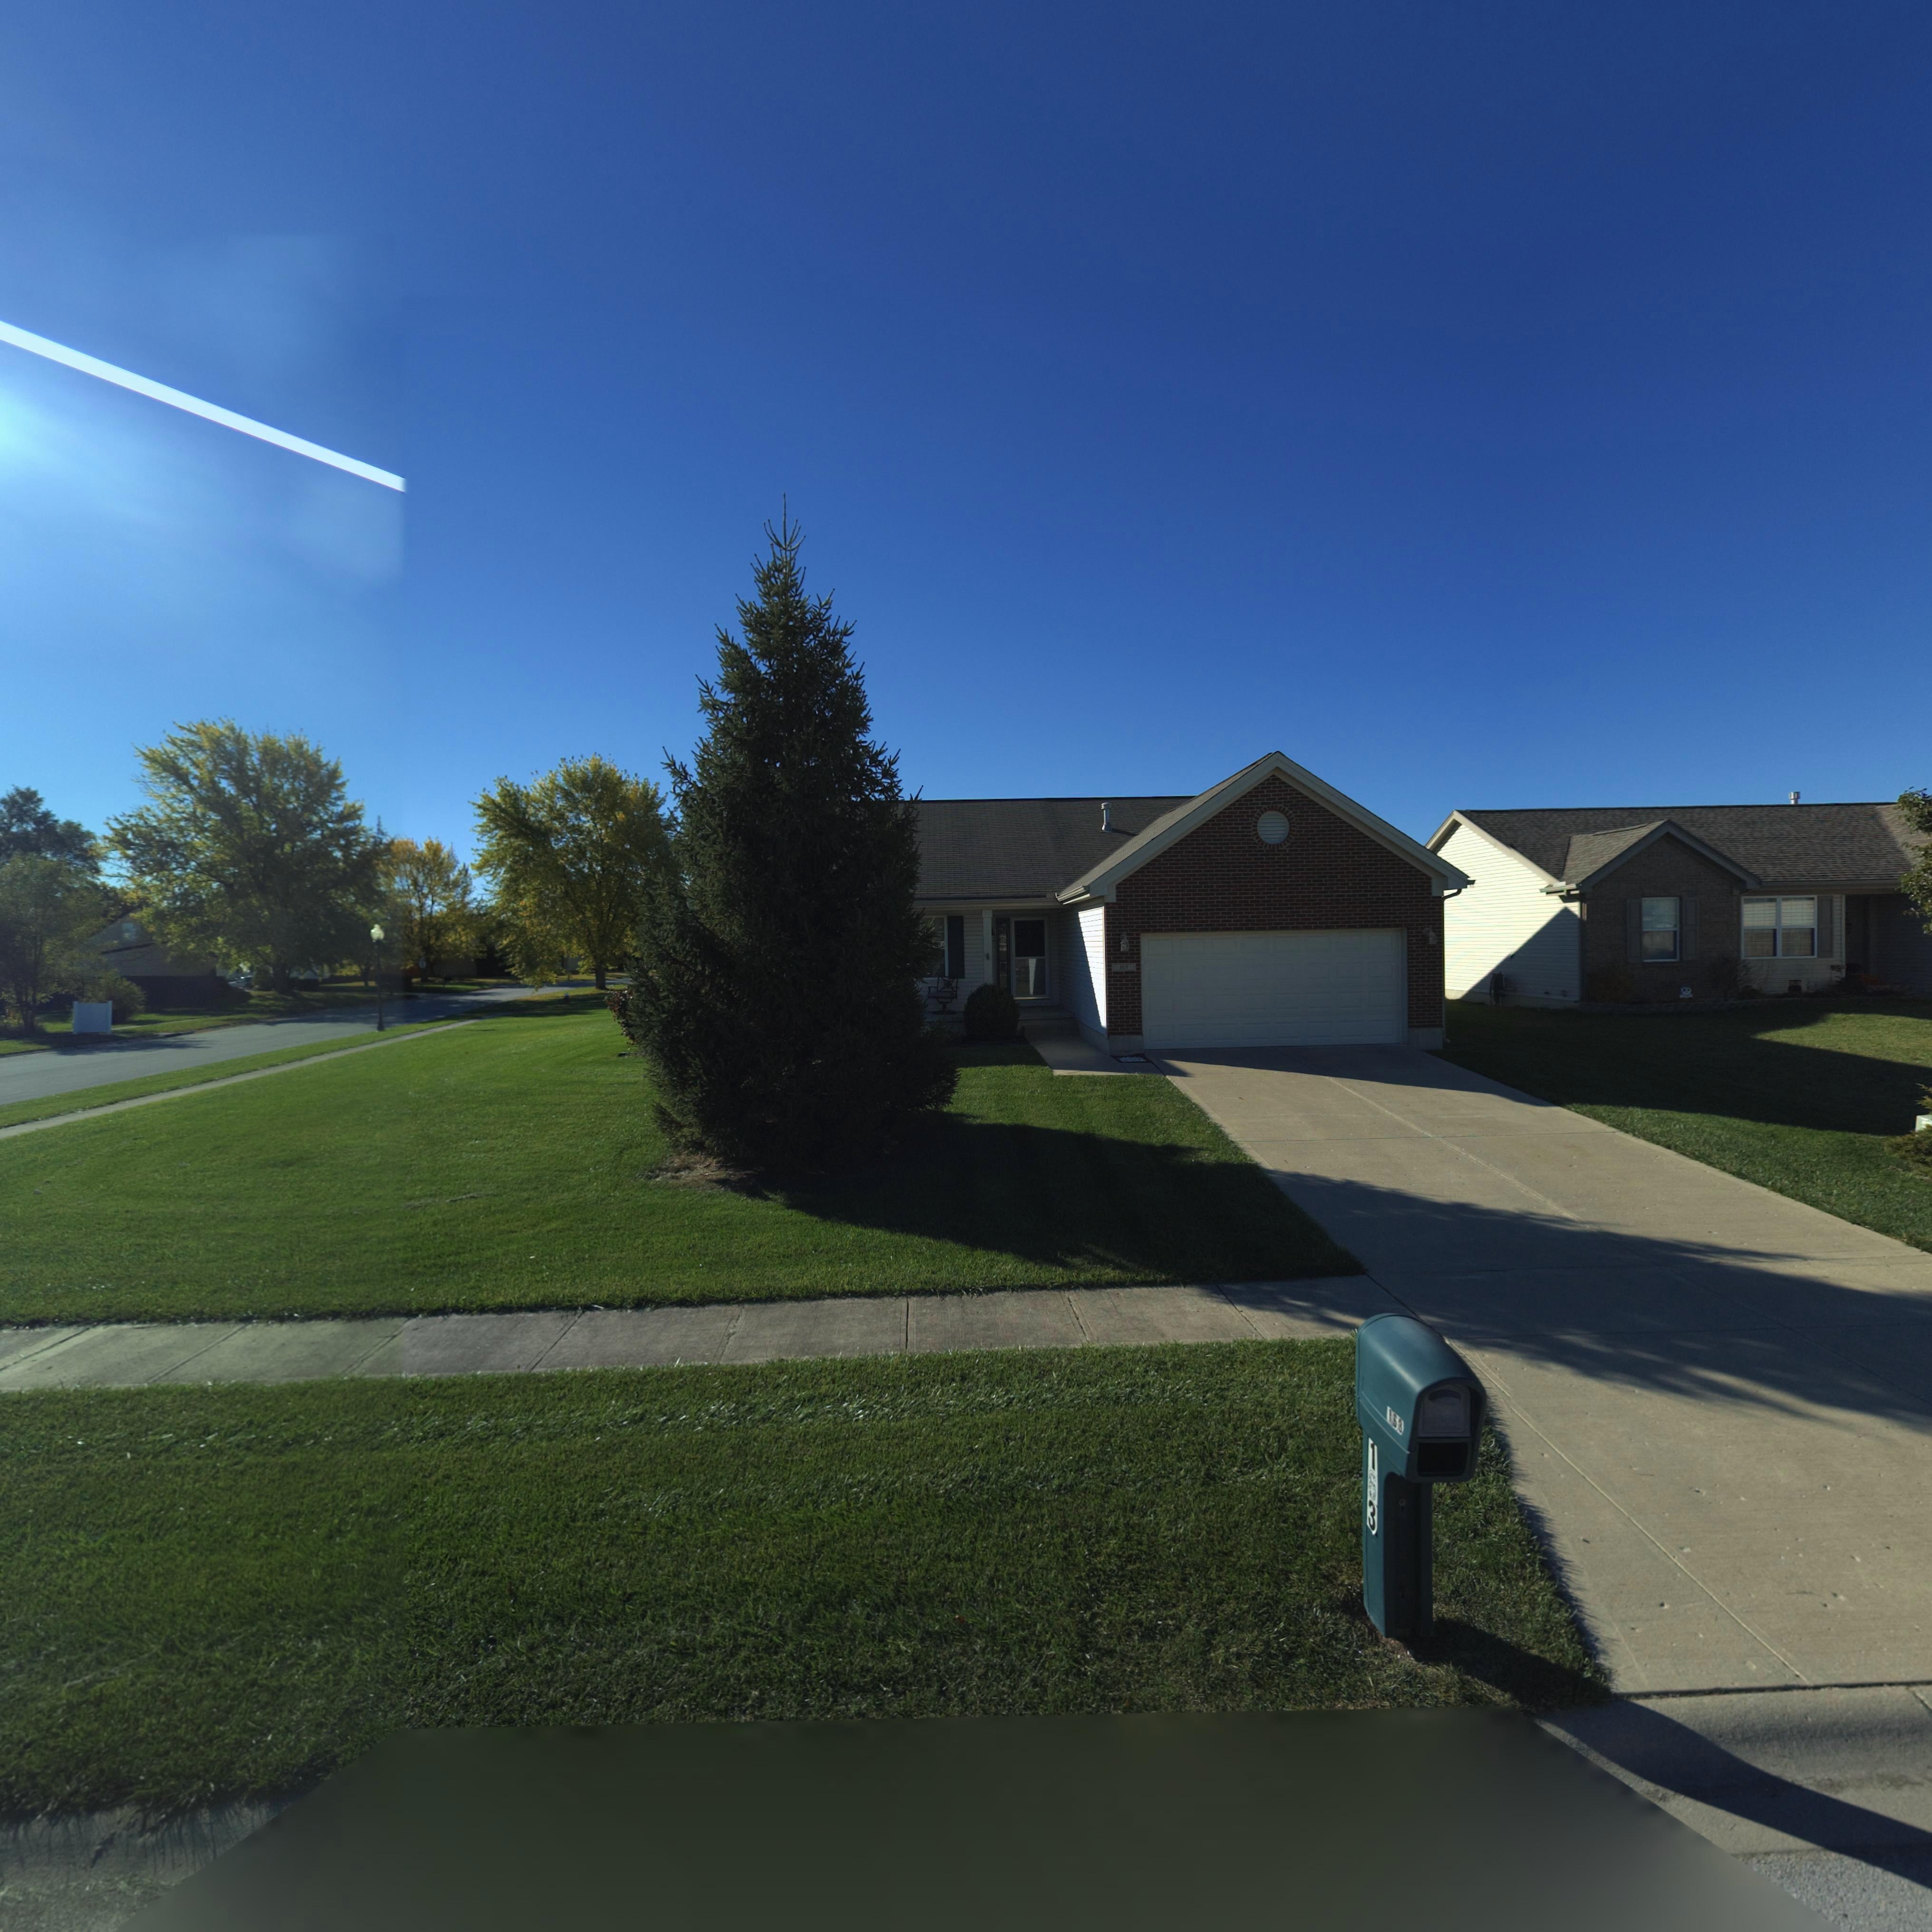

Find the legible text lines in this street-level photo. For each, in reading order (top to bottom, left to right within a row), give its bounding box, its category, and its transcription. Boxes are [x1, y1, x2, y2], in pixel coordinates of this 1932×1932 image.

[1120, 964, 1129, 970] StreetNumber: 16*
[1388, 1407, 1403, 1435] StreetNumber: 163
[1367, 1439, 1378, 1533] StreetNumber: 163